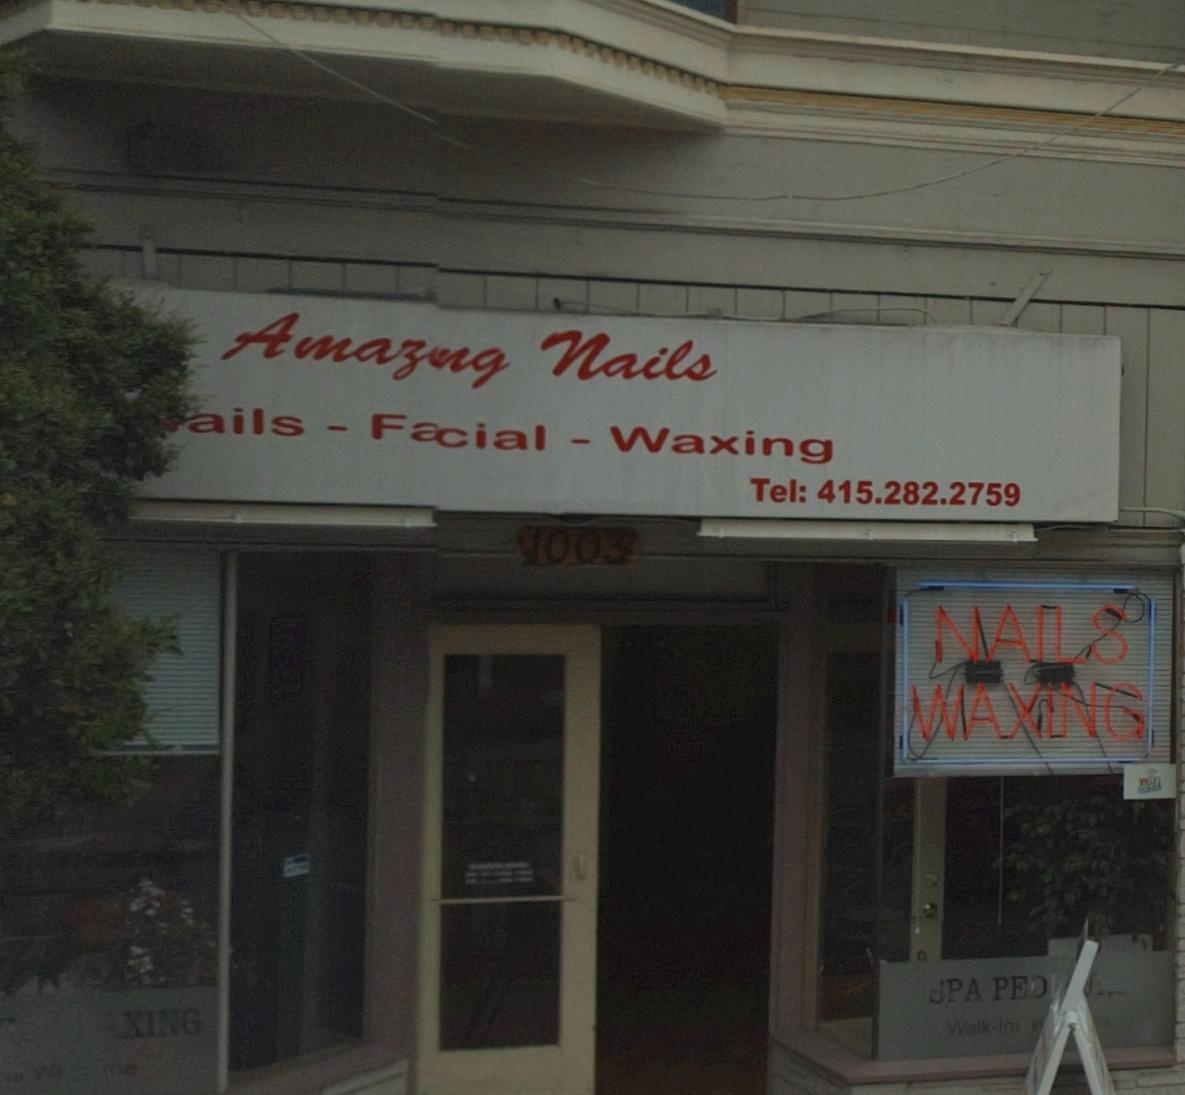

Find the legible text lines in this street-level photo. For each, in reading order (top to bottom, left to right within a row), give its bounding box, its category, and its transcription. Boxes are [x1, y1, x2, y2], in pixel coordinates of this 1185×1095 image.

[211, 309, 720, 390] BusinessName: Amazing Nails
[185, 404, 839, 466] None: ails * F*ial * Waxing
[748, 474, 1023, 509] None: Tel: 415.282.2759
[522, 525, 635, 565] StreetNumber: 1003
[932, 603, 1130, 666] None: NAILS
[908, 680, 1145, 746] None: WAXING
[928, 972, 1050, 1007] None: *PA PEO
[119, 1007, 205, 1040] None: XING
[946, 1017, 1022, 1039] None: Walk-in*